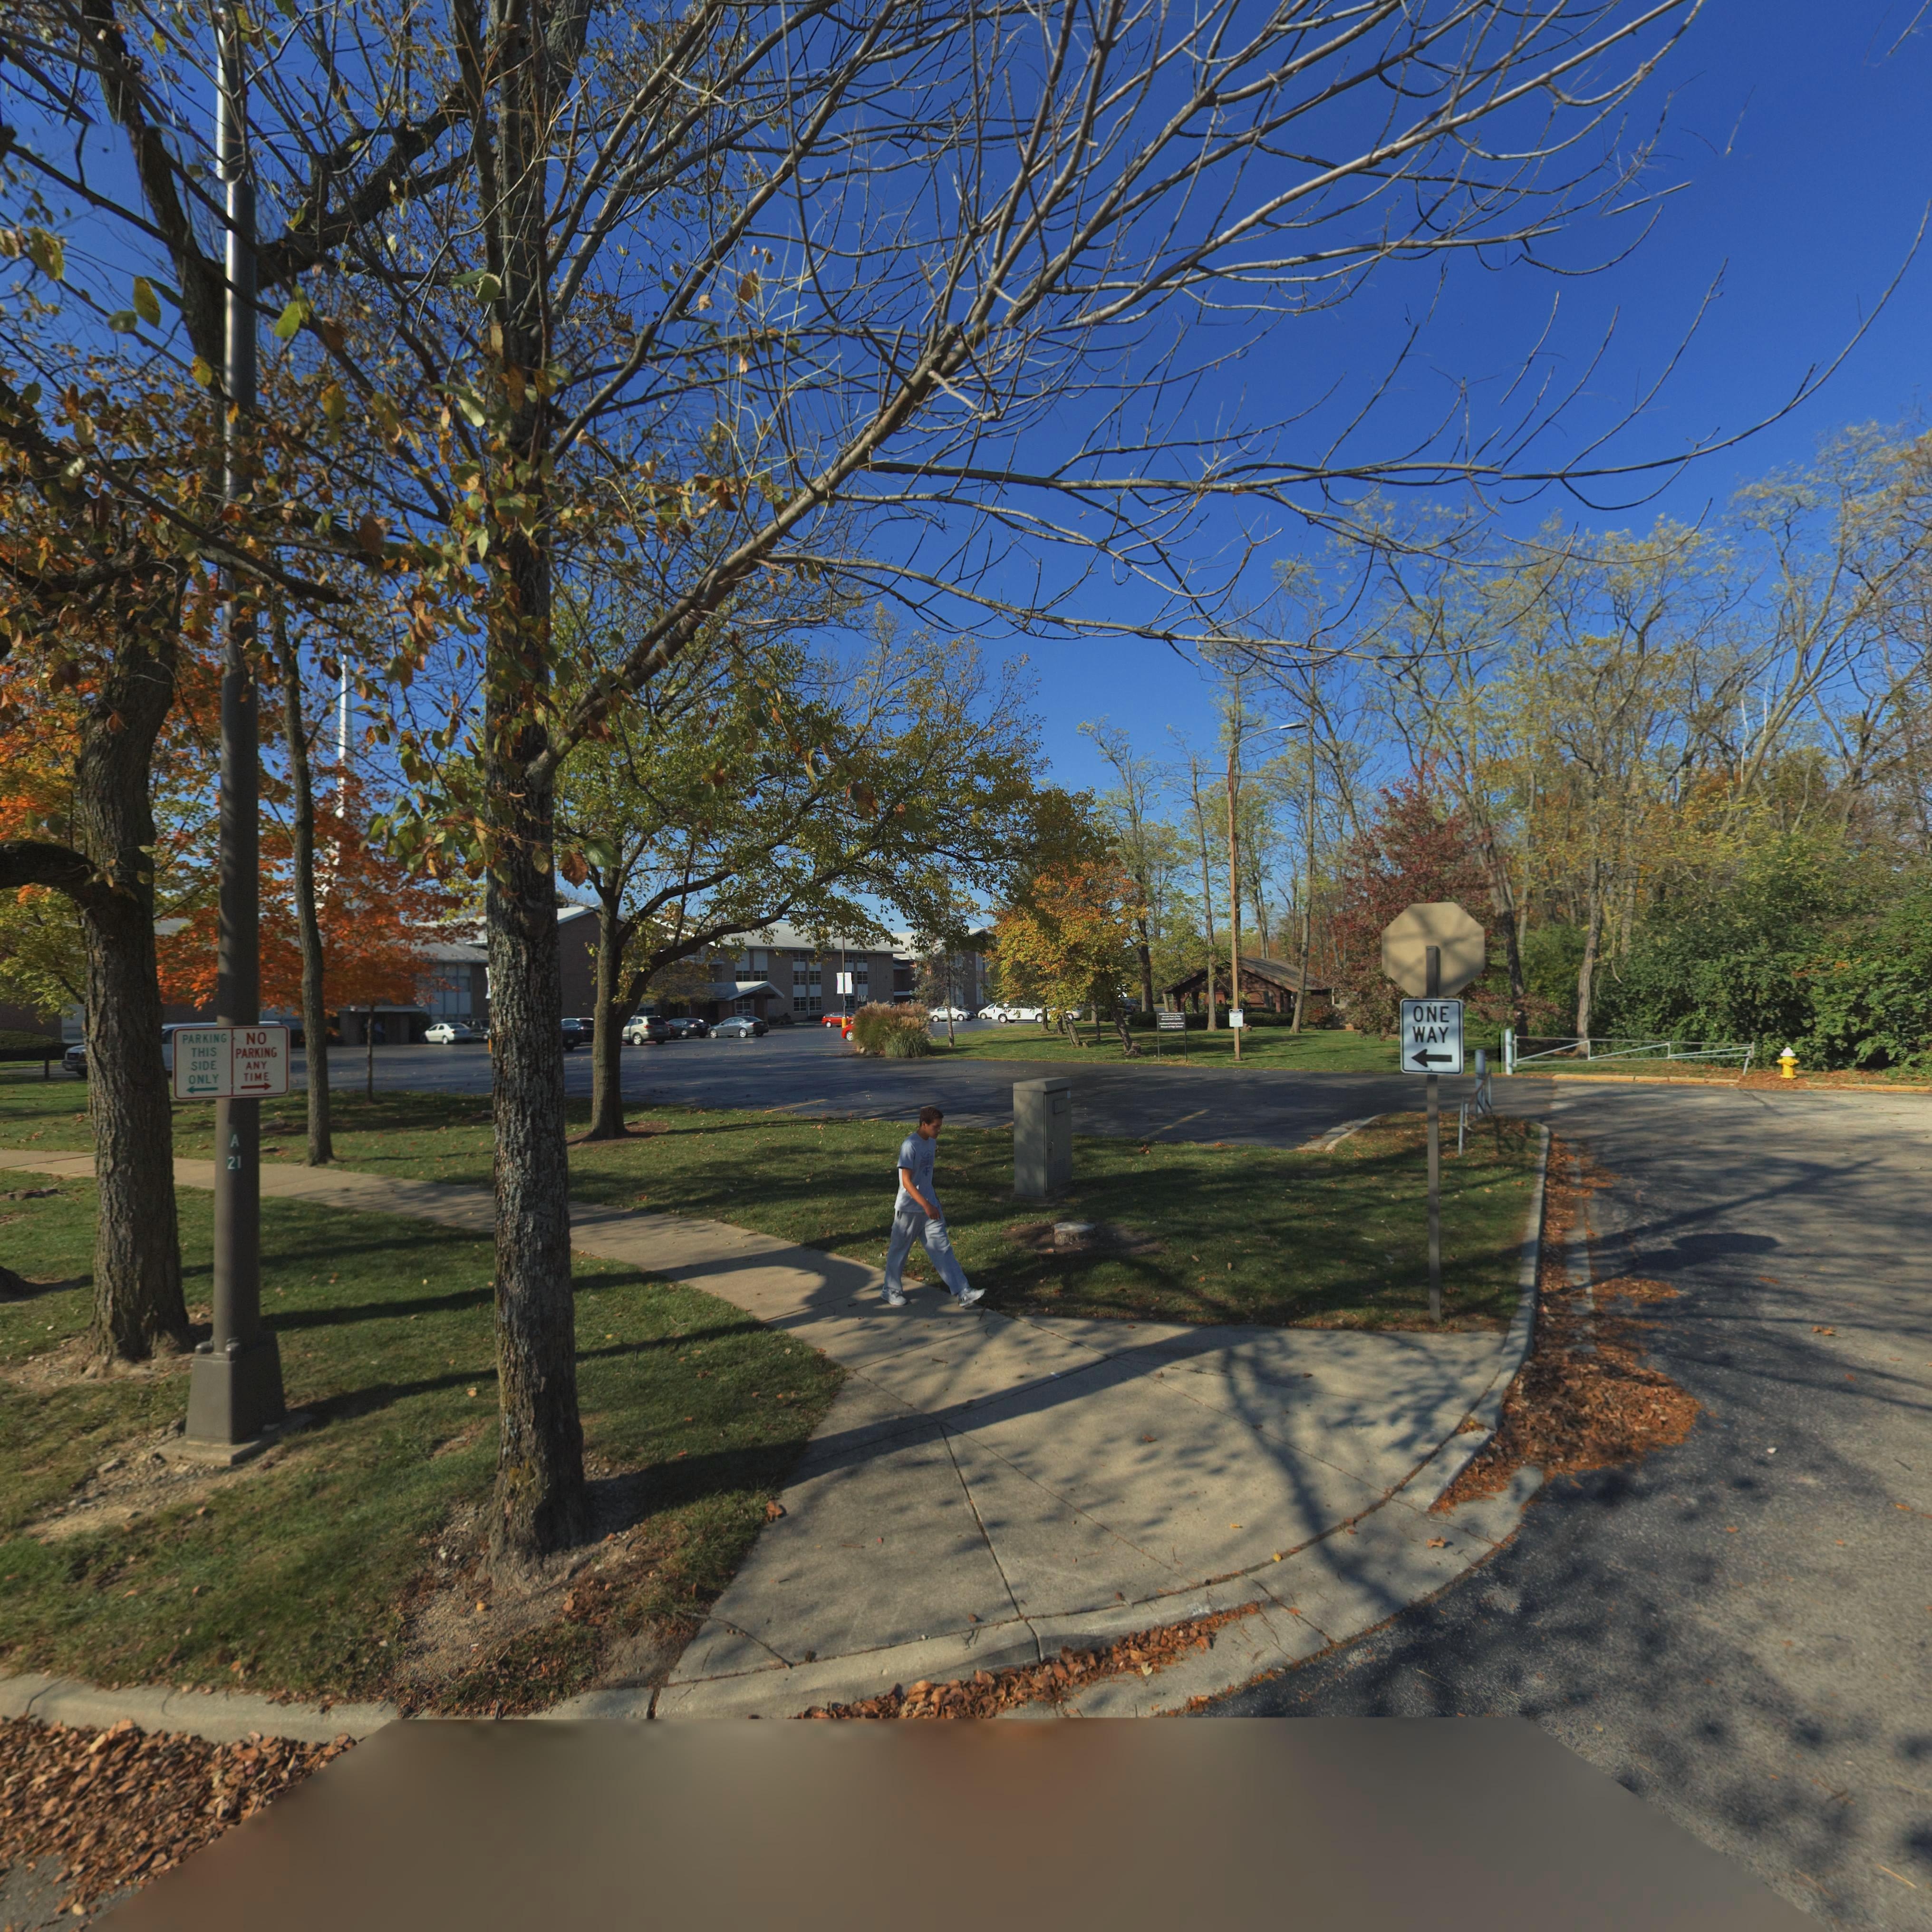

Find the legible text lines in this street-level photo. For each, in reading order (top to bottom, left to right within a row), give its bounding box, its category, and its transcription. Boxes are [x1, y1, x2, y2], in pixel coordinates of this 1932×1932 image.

[1412, 1005, 1449, 1023] None: ONE
[182, 1034, 228, 1044] None: PARKING
[245, 1032, 266, 1045] None: NO
[1412, 1025, 1449, 1043] None: WAY
[190, 1046, 218, 1057] None: THIS
[235, 1047, 277, 1058] None: PARKING
[190, 1060, 217, 1071] None: SIDE
[245, 1060, 268, 1071] None: ANY
[187, 1073, 219, 1085] None: ONLY
[243, 1072, 269, 1082] None: TIME